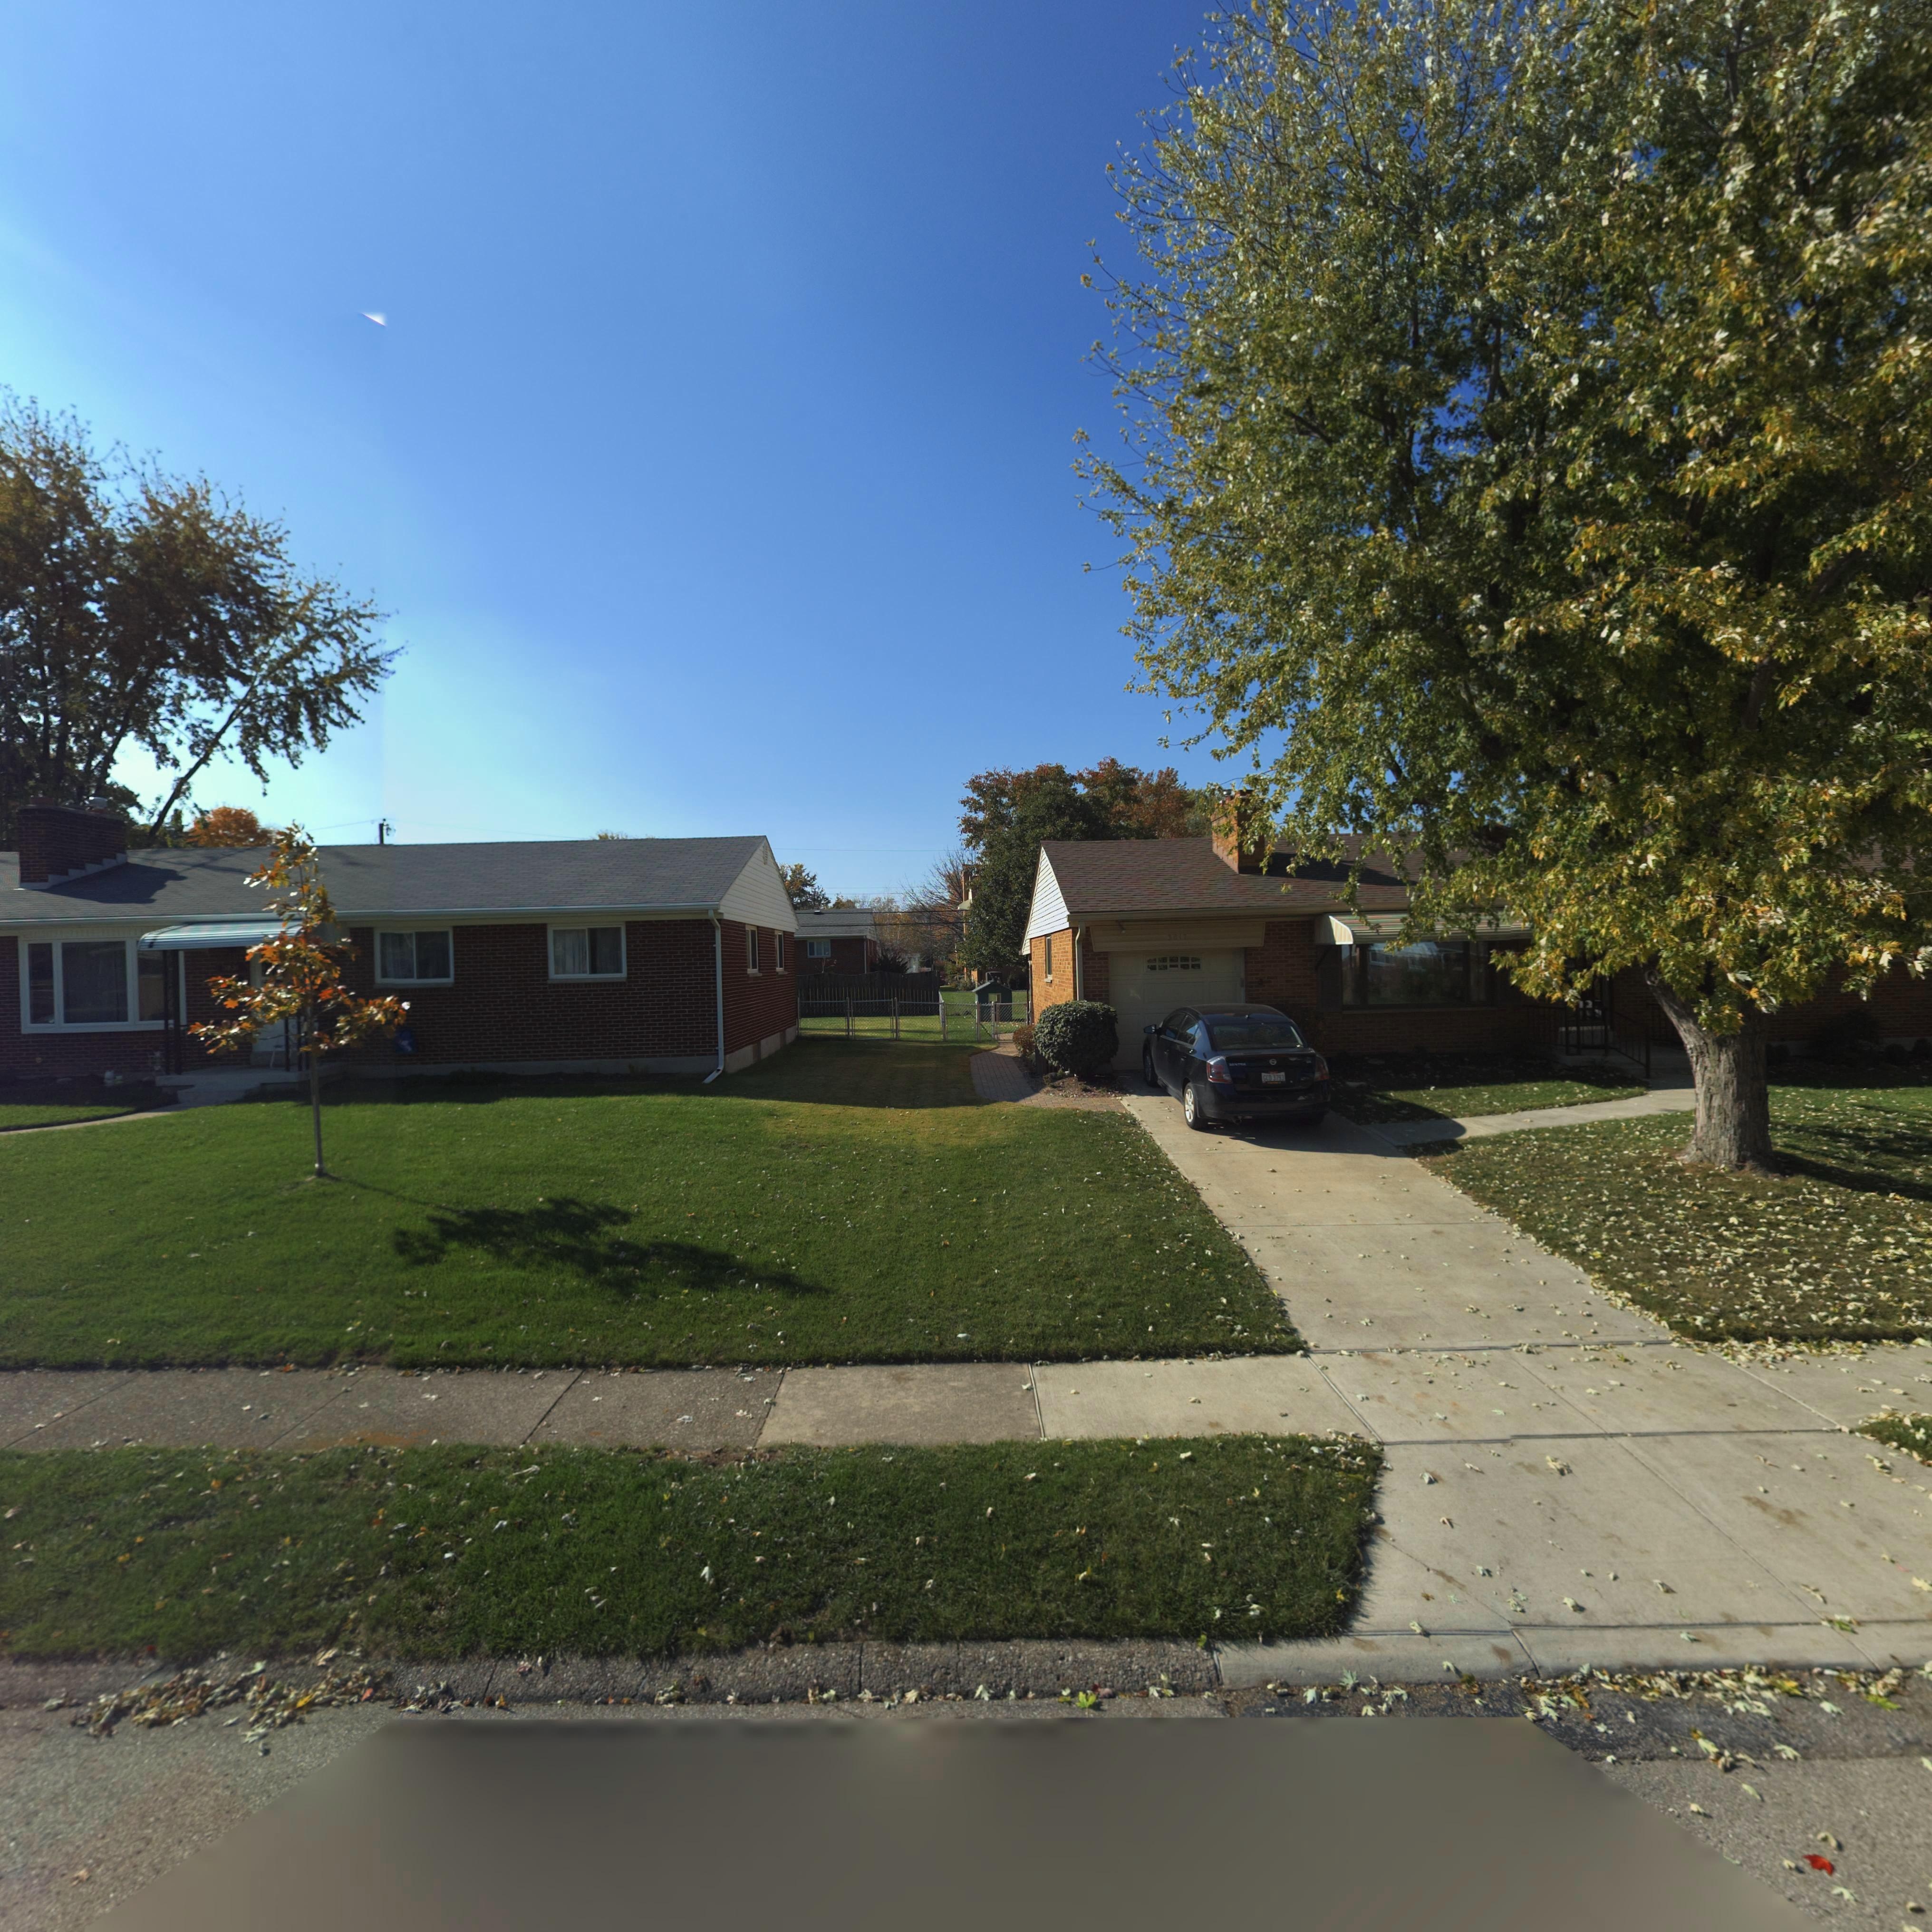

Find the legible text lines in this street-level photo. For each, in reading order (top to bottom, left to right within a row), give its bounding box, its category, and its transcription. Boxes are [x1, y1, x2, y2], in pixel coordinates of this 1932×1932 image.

[1167, 933, 1188, 941] StreetNumber: **17
[1262, 1073, 1285, 1083] None: GCD 3793